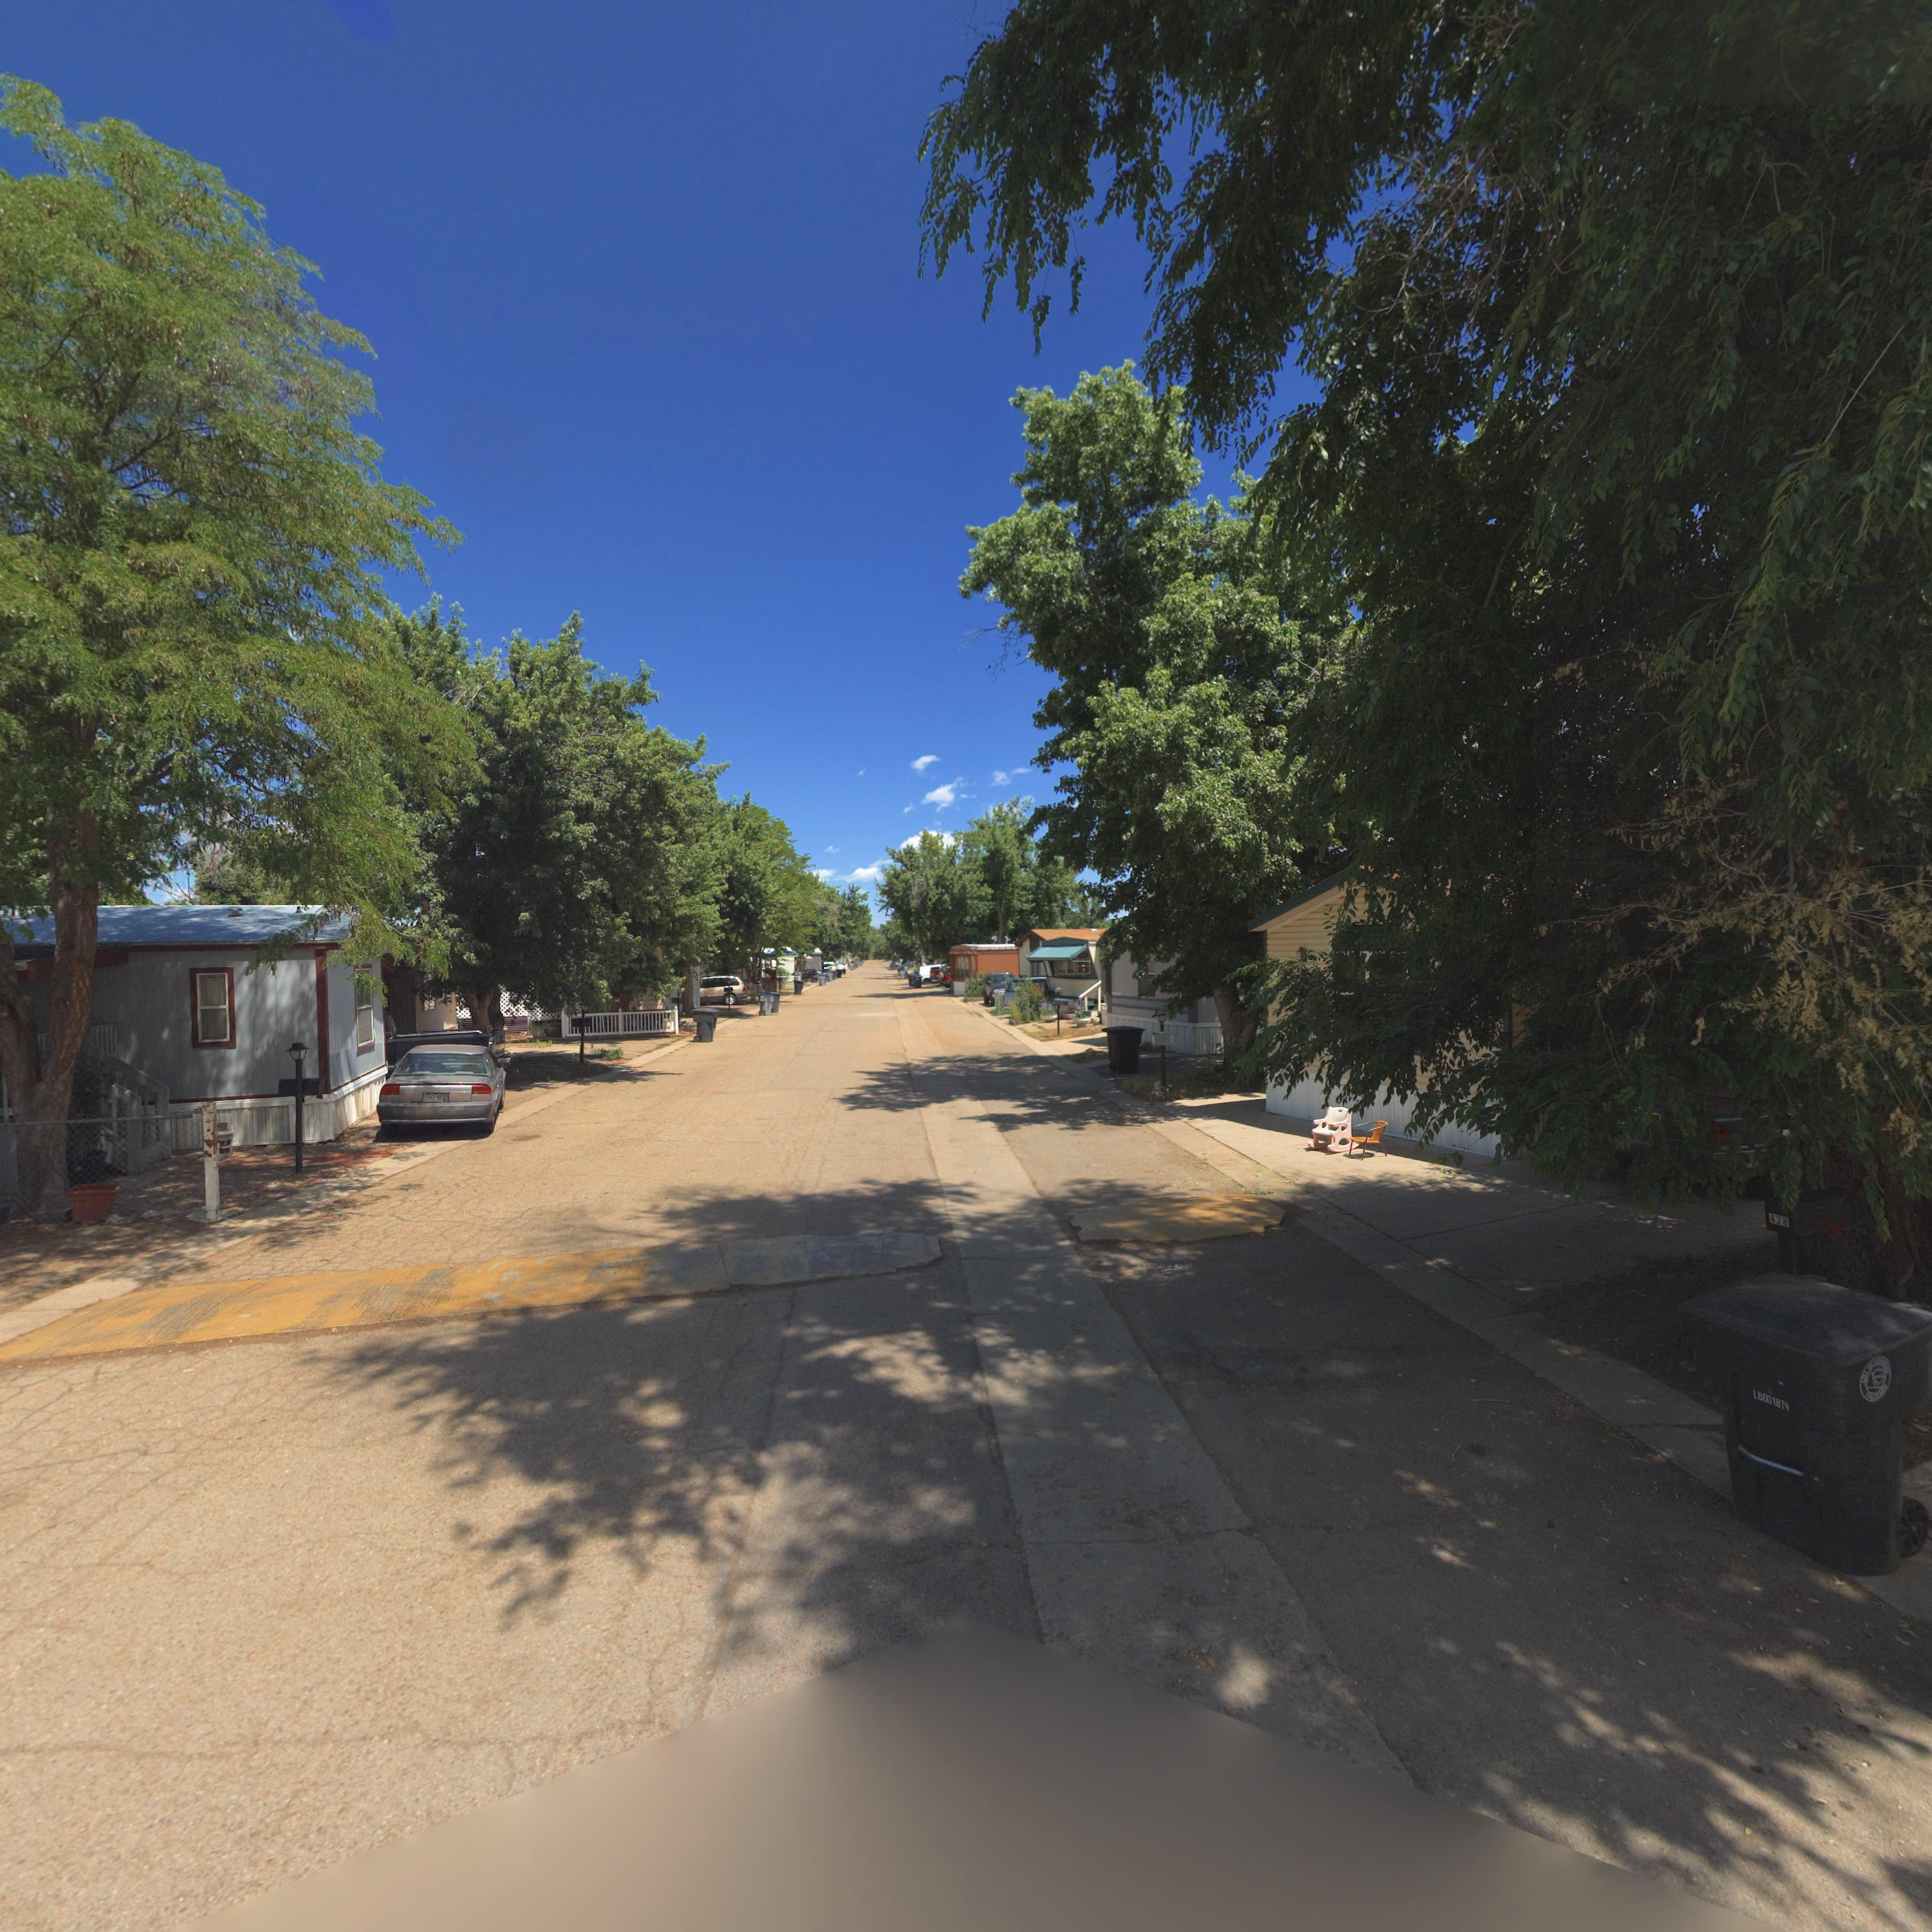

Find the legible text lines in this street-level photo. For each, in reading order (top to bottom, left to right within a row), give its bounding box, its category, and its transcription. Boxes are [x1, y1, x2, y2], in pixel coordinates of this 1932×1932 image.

[1770, 1214, 1787, 1226] StreetNumber: 428